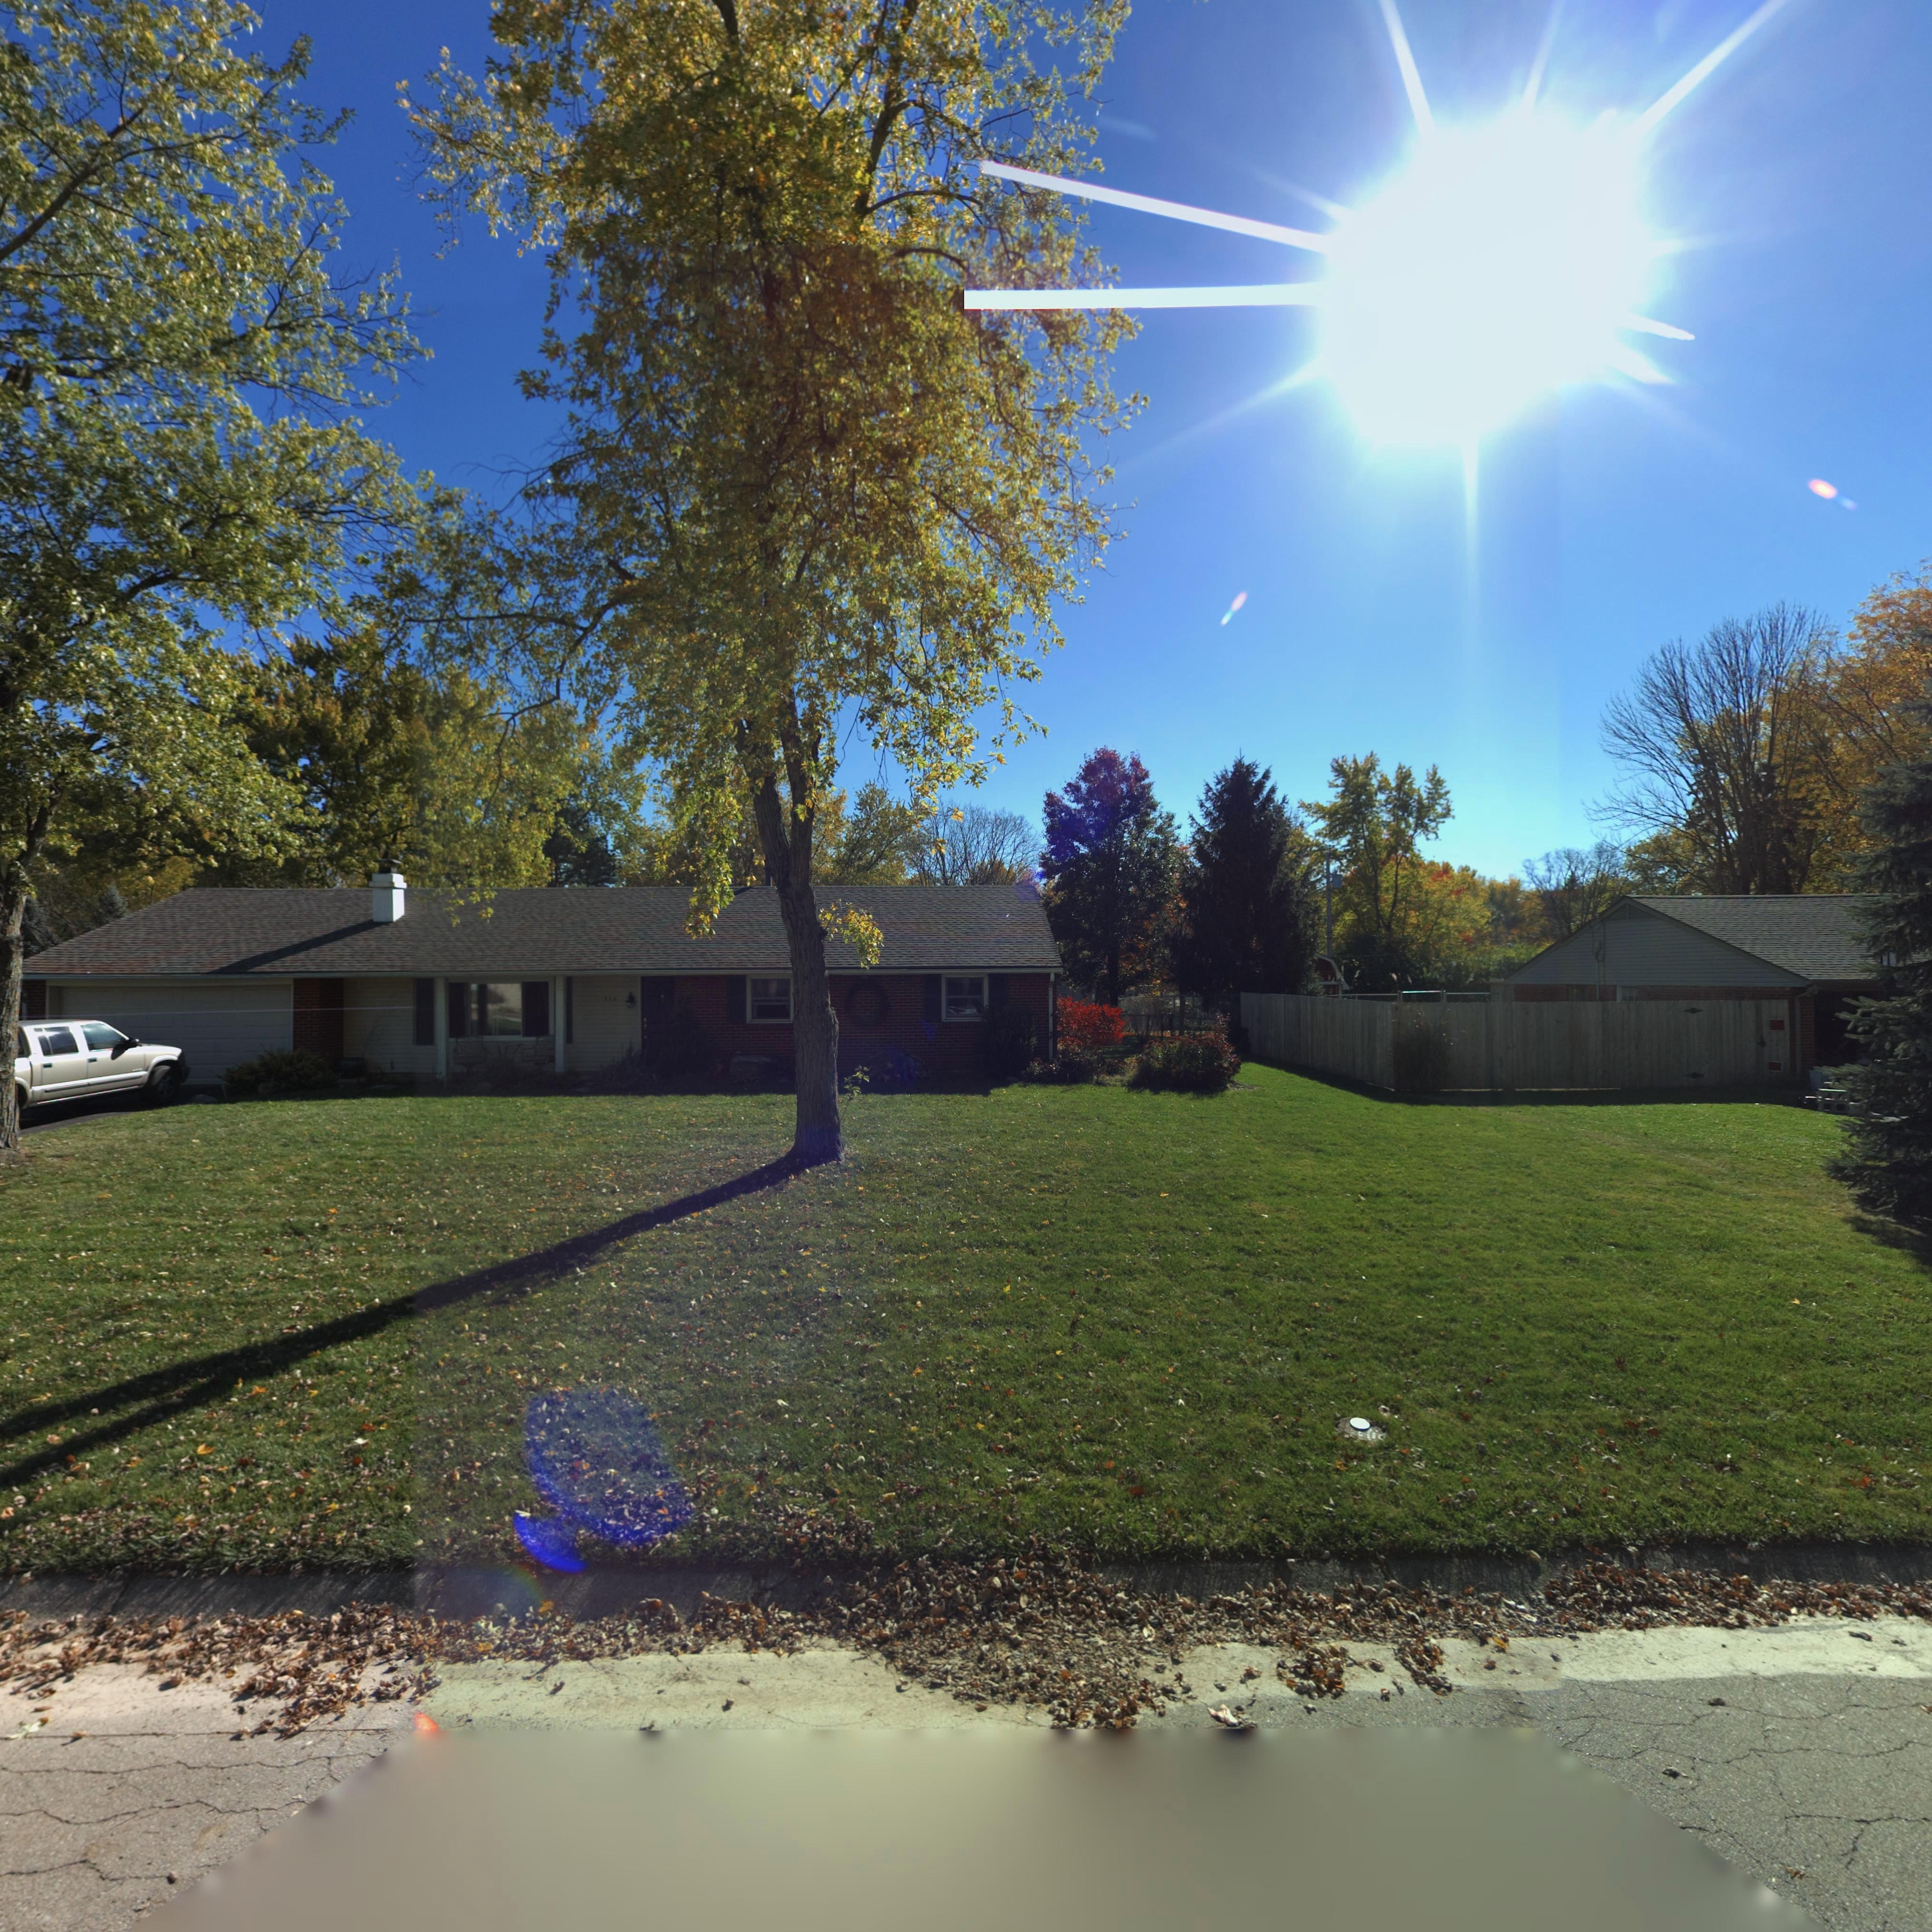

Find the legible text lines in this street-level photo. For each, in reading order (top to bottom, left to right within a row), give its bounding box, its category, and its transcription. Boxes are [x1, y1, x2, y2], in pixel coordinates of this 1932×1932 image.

[603, 996, 616, 1002] StreetNumber: 512